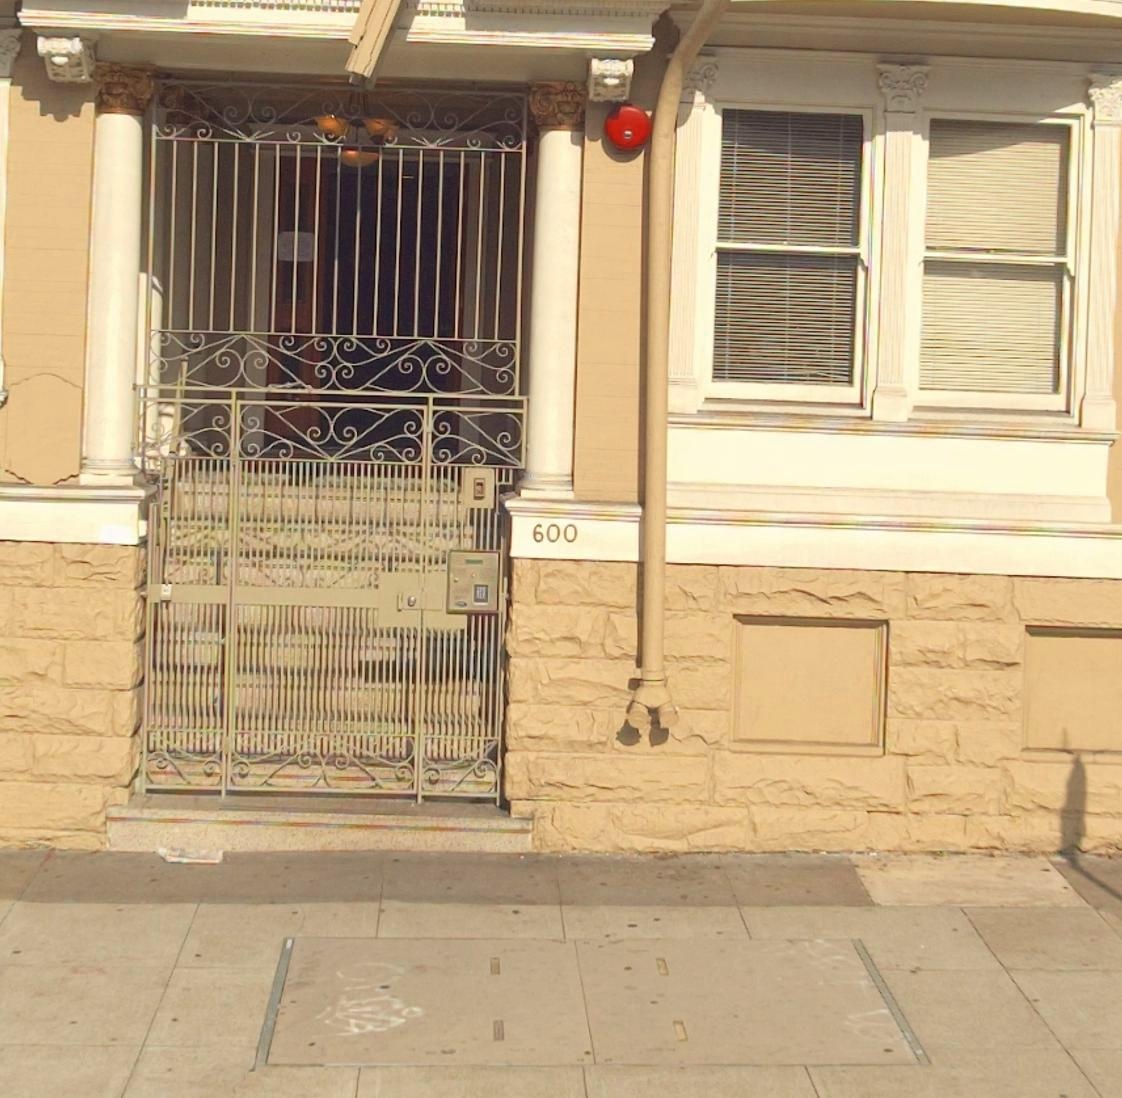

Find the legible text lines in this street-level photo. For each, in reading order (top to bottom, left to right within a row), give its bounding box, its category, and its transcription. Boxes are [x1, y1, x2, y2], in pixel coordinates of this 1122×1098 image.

[532, 523, 578, 543] StreetNumber: 600